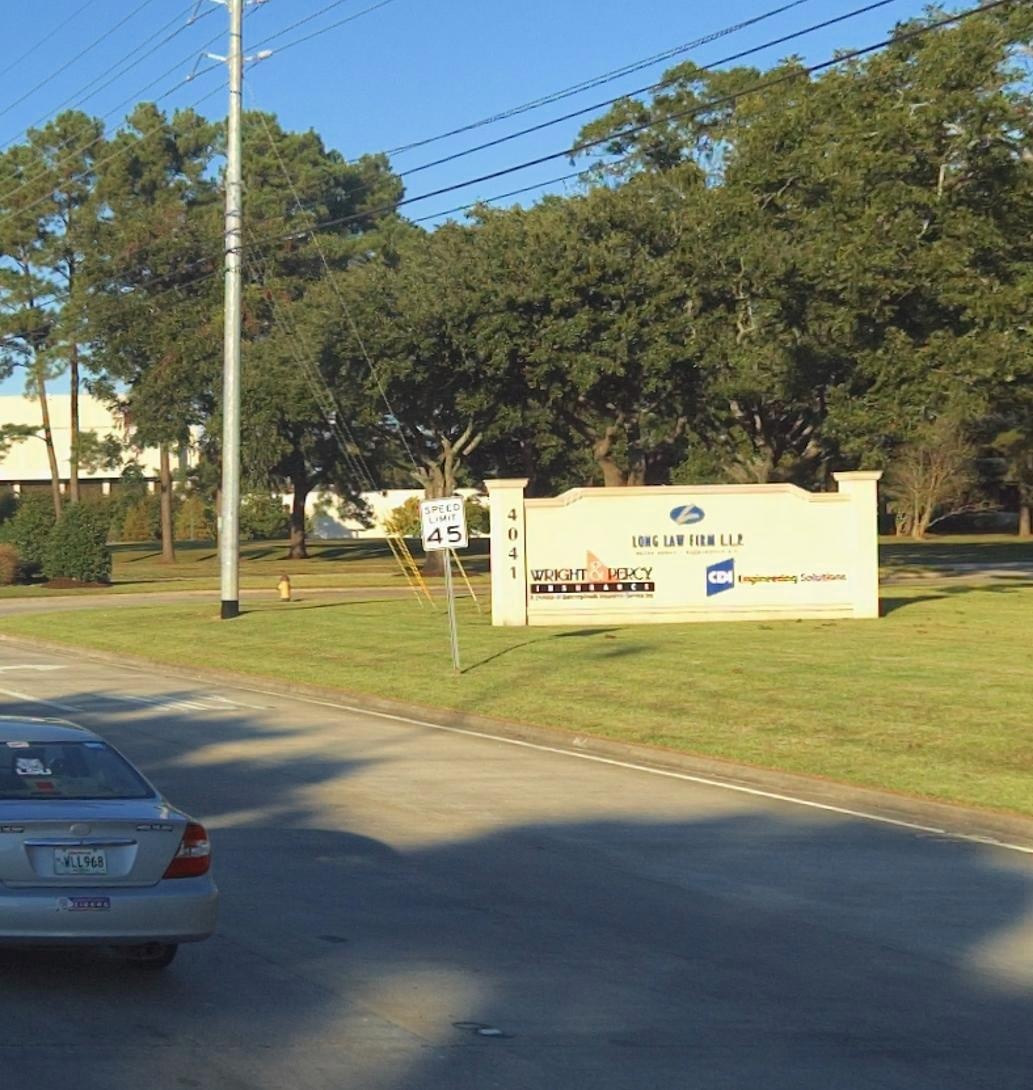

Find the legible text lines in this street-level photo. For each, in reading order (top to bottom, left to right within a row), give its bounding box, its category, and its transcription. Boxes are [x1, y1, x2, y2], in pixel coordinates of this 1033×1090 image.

[423, 503, 462, 516] None: SPEED
[428, 512, 456, 525] None: LIMIT
[426, 524, 463, 545] None: 45
[507, 507, 519, 581] StreetNumber: 4041
[631, 533, 745, 549] BusinessName: LONG LAW FIRM L.L.P.
[529, 560, 654, 583] BusinessName: WRIGHT & PERCY
[706, 569, 734, 585] BusinessName: CDI
[63, 854, 105, 868] None: WLL968